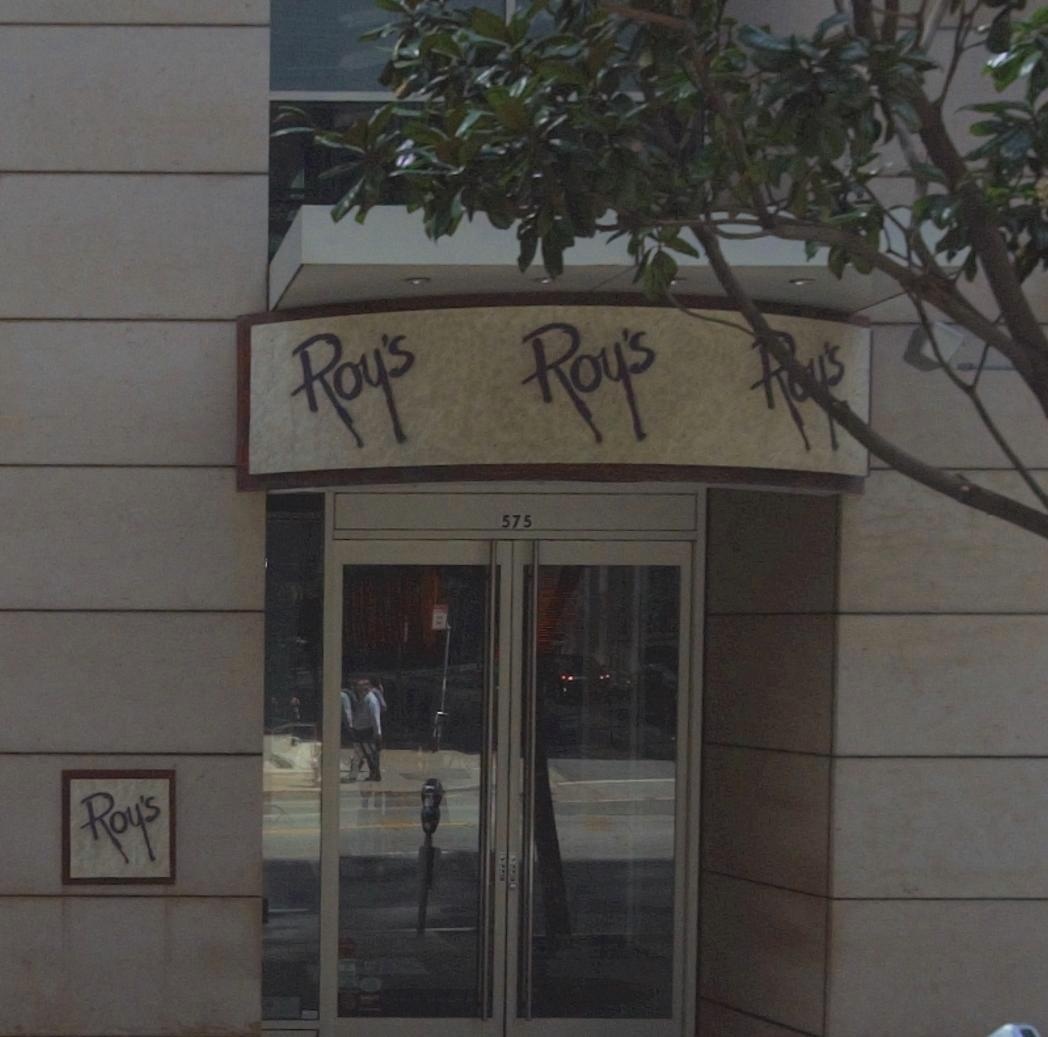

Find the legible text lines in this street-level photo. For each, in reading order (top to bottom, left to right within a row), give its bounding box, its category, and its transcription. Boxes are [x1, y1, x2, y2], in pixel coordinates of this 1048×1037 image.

[287, 327, 421, 456] BusinessName: Roy's
[518, 318, 661, 449] BusinessName: Roy's
[820, 340, 848, 387] BusinessName: 's
[500, 511, 534, 531] StreetNumber: 575
[76, 788, 163, 867] BusinessName: Roy's